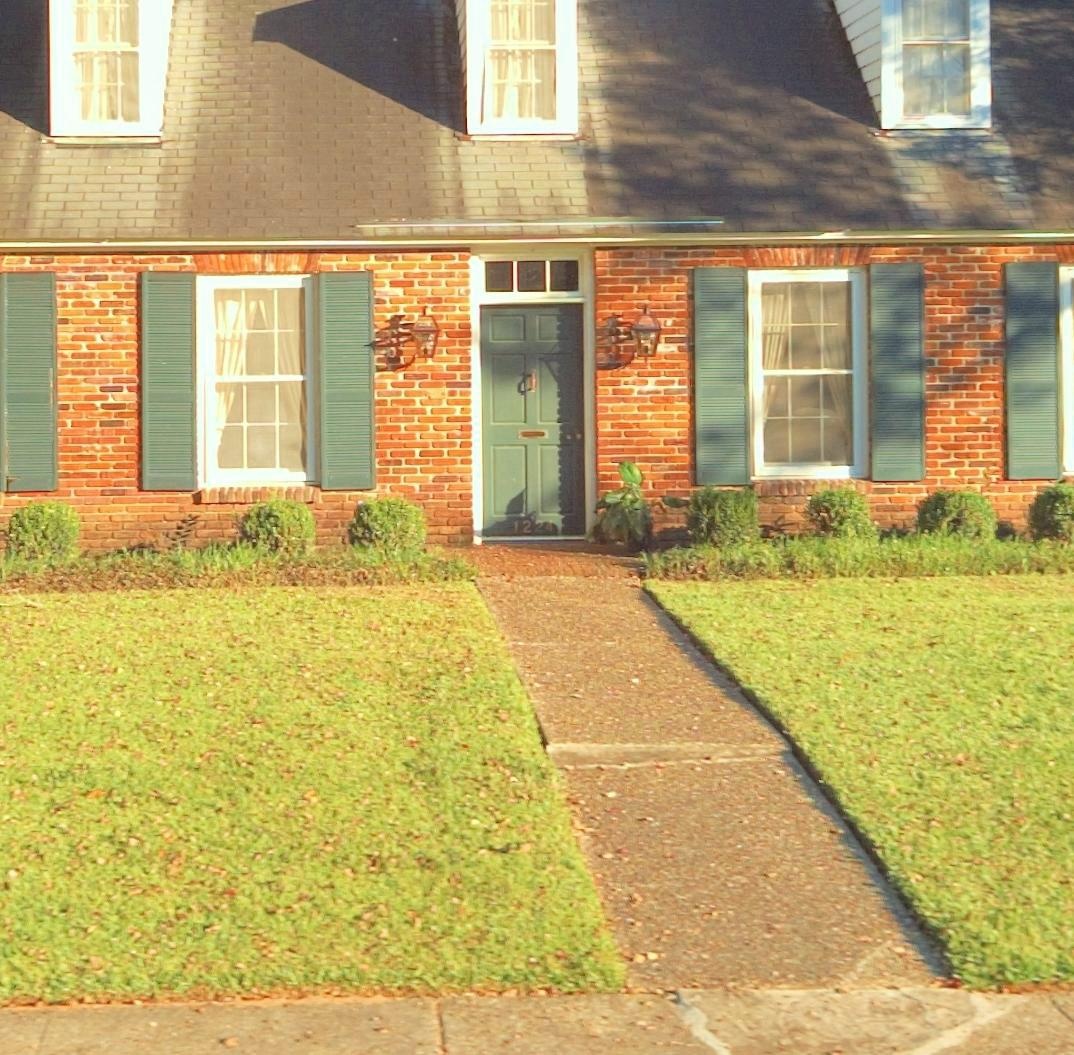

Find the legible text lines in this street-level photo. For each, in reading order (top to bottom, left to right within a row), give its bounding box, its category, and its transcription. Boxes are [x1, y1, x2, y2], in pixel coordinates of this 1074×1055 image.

[511, 519, 554, 535] StreetNumber: 1224